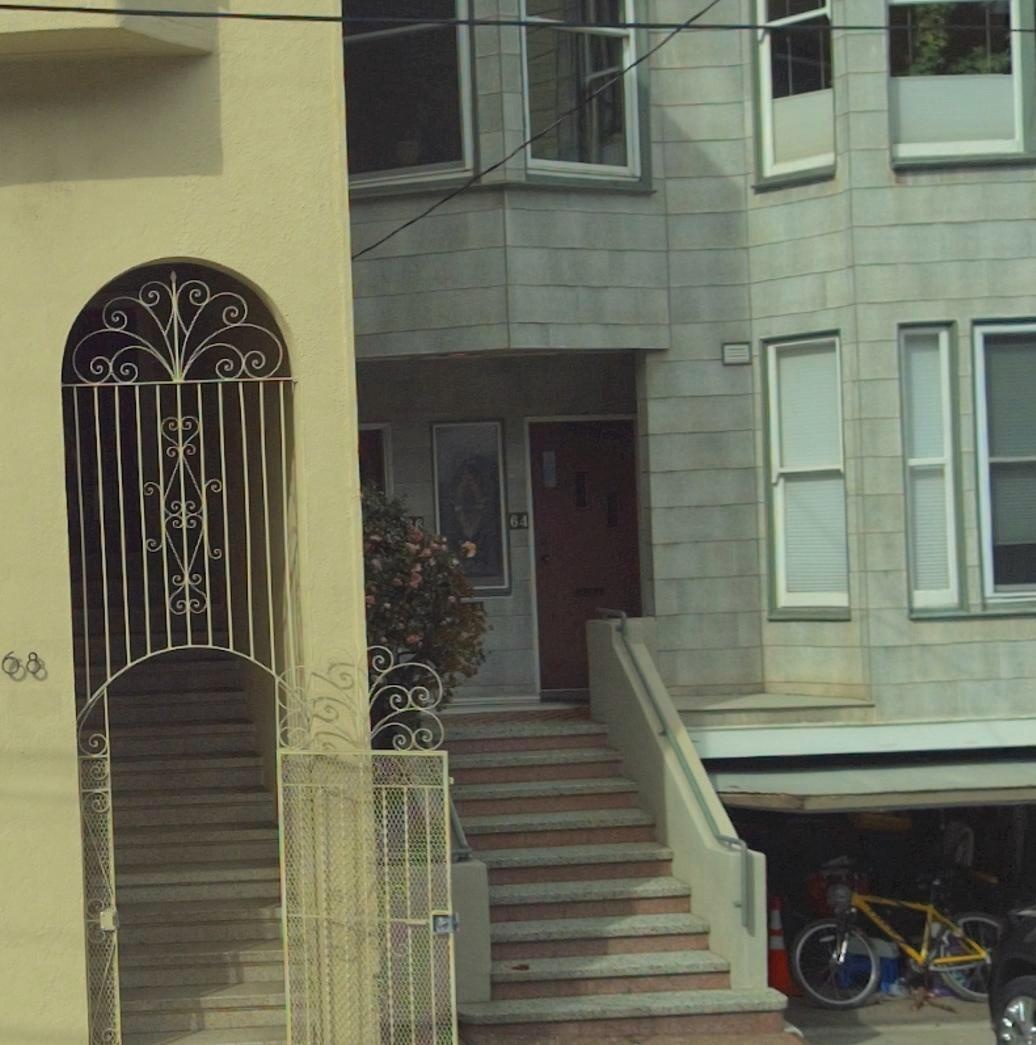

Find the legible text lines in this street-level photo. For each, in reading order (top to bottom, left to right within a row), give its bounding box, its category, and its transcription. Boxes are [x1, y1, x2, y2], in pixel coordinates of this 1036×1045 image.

[509, 514, 528, 528] StreetNumber: 64
[1, 650, 42, 675] StreetNumber: 68